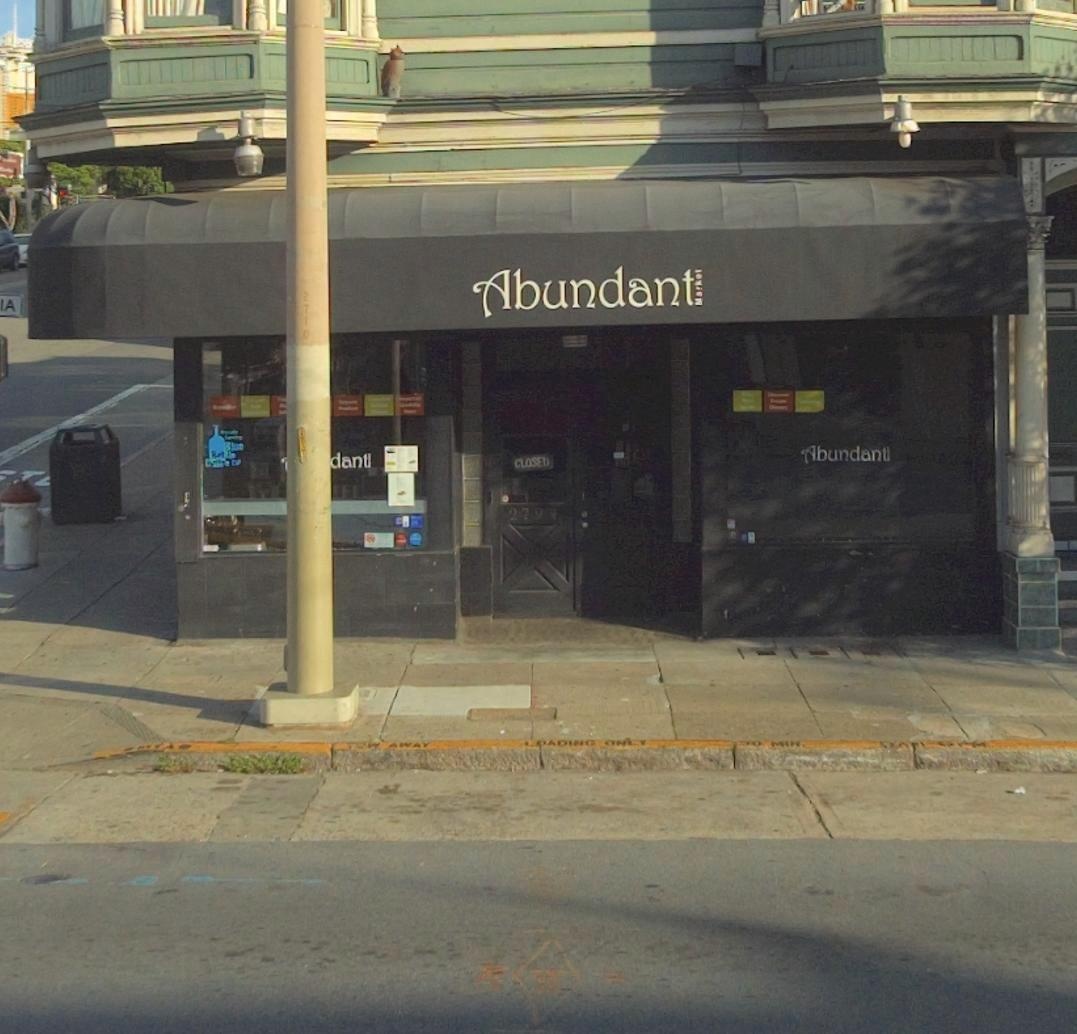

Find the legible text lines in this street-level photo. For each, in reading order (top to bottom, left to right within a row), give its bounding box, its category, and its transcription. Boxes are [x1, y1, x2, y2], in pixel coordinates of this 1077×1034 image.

[468, 259, 697, 323] BusinessName: Abundant
[692, 265, 706, 309] BusinessName: Market
[327, 448, 371, 472] BusinessName: dant
[511, 453, 553, 471] None: CLOSED
[797, 441, 888, 468] BusinessName: Abundant
[507, 506, 561, 523] StreetNumber: 2794